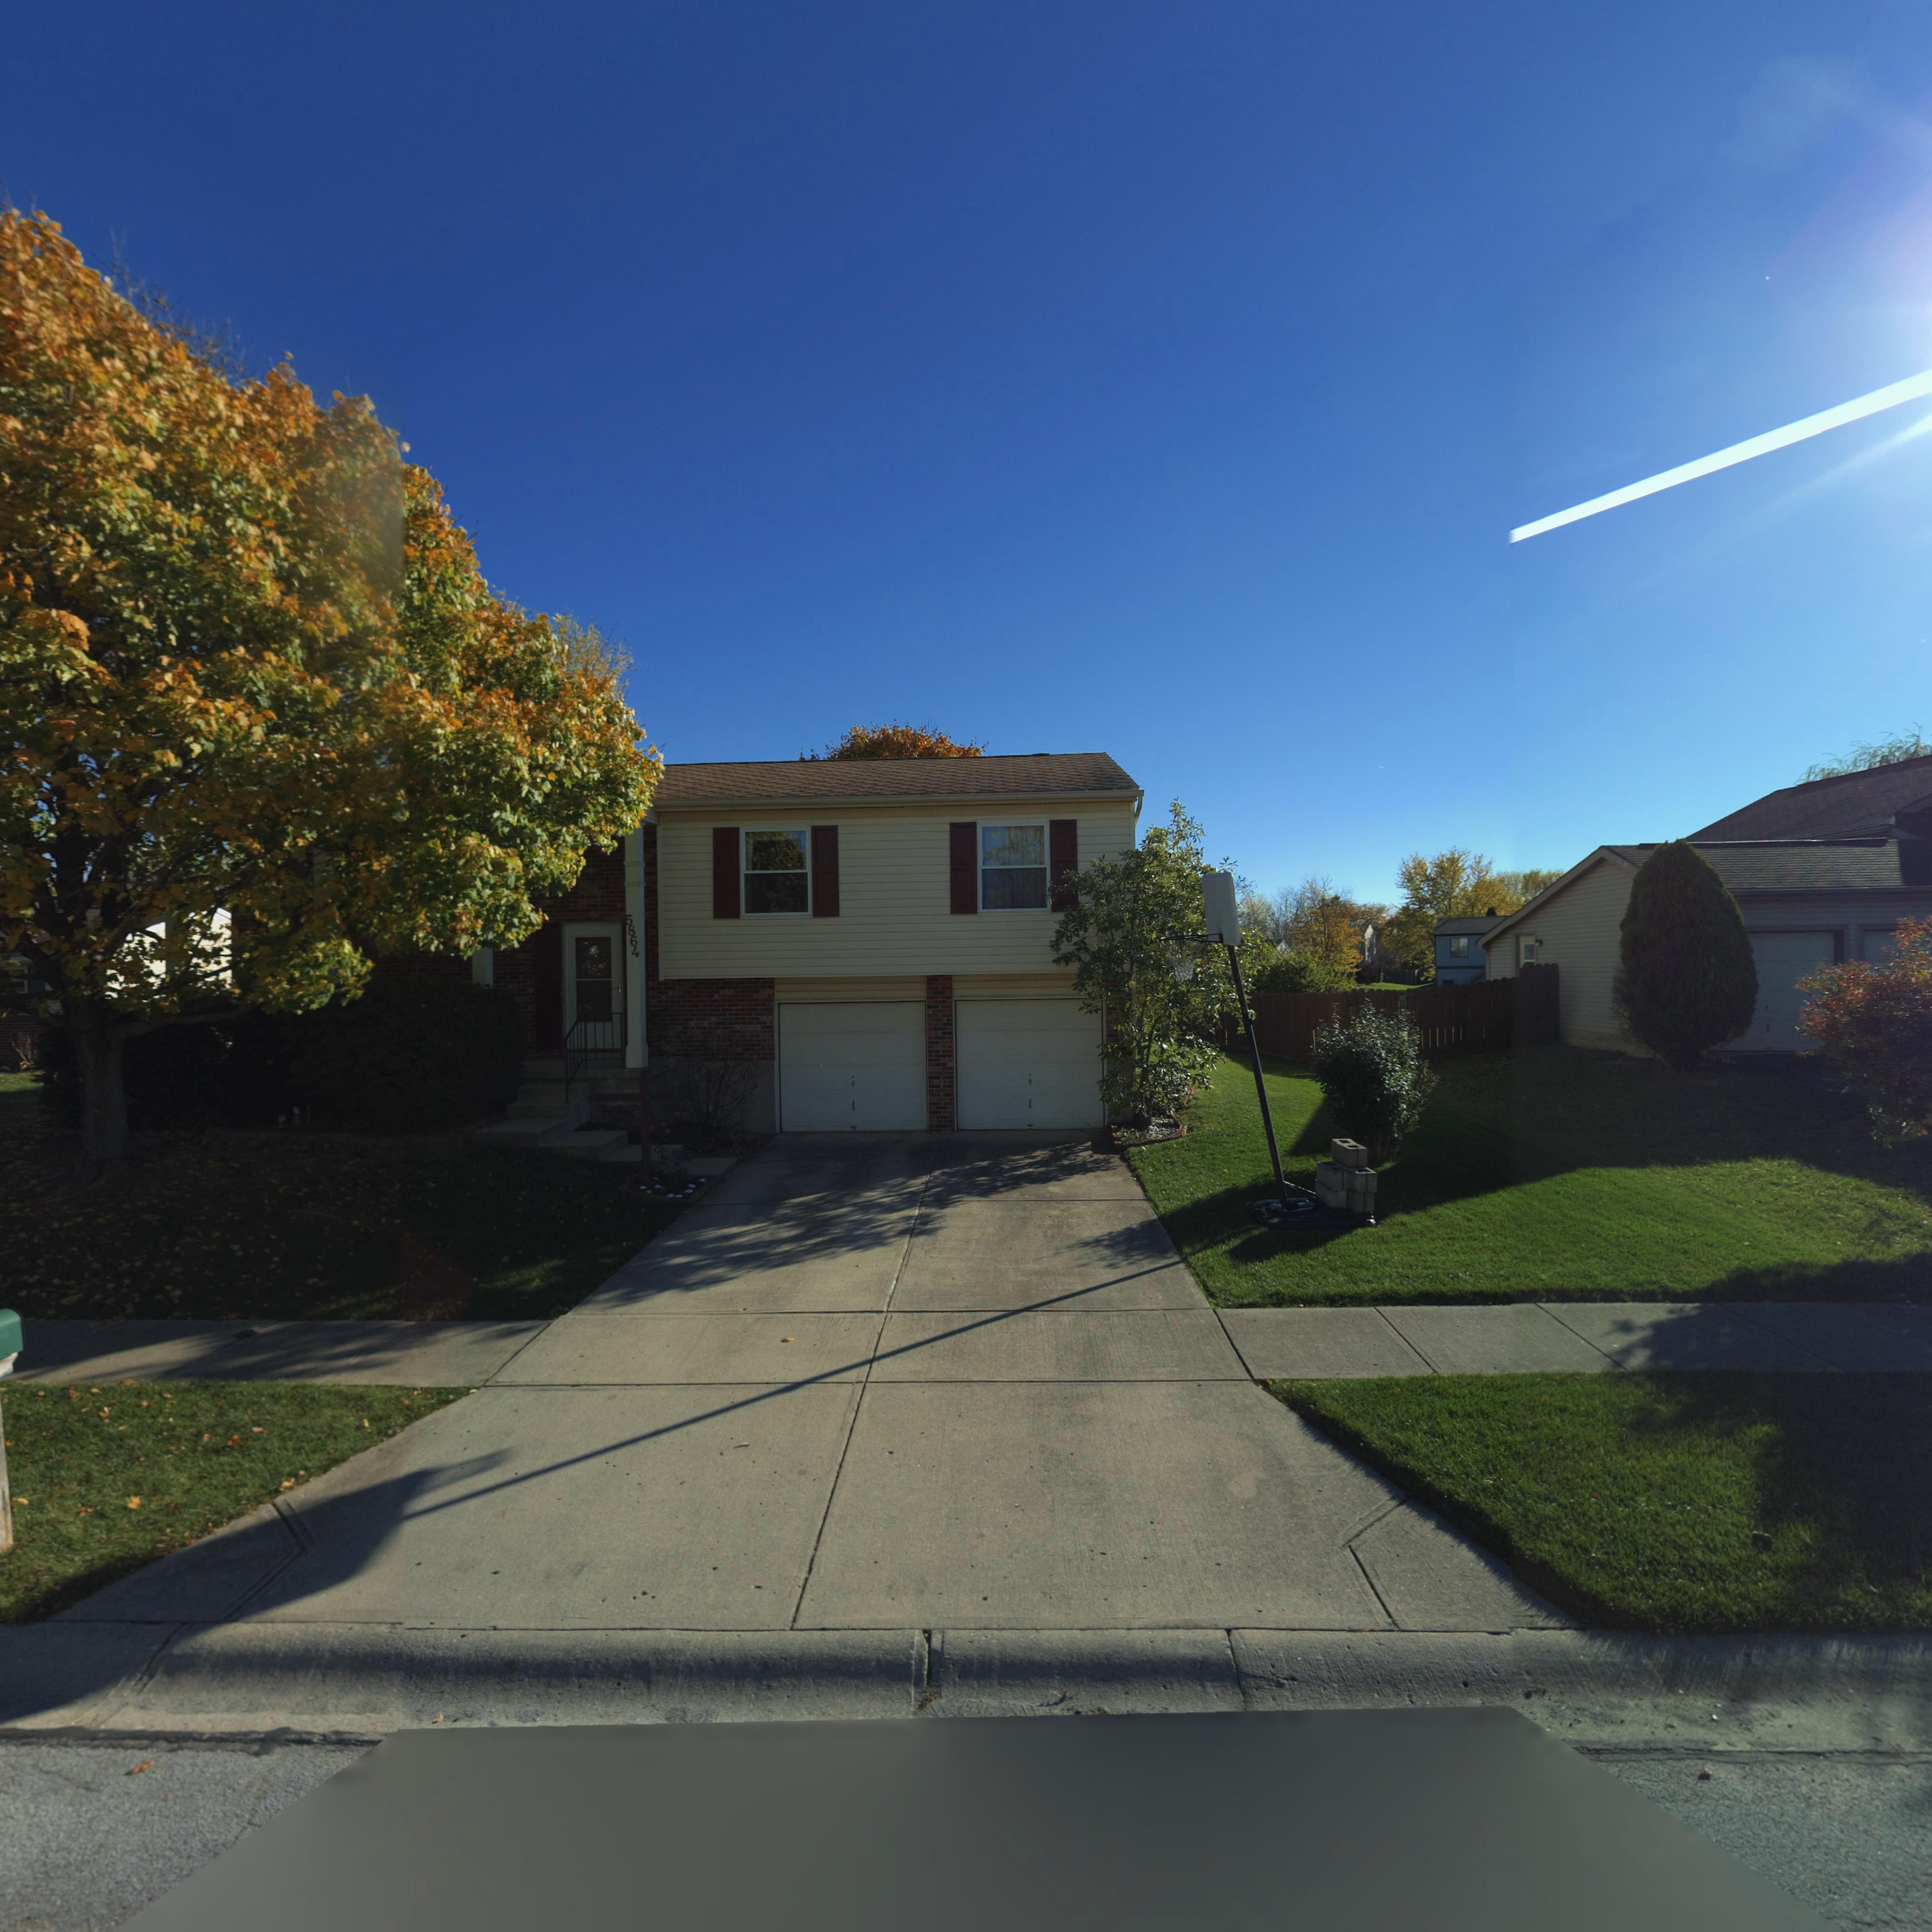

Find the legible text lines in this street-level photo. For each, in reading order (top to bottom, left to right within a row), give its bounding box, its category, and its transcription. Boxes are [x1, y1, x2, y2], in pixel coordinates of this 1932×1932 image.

[625, 913, 641, 958] StreetNumber: 5864